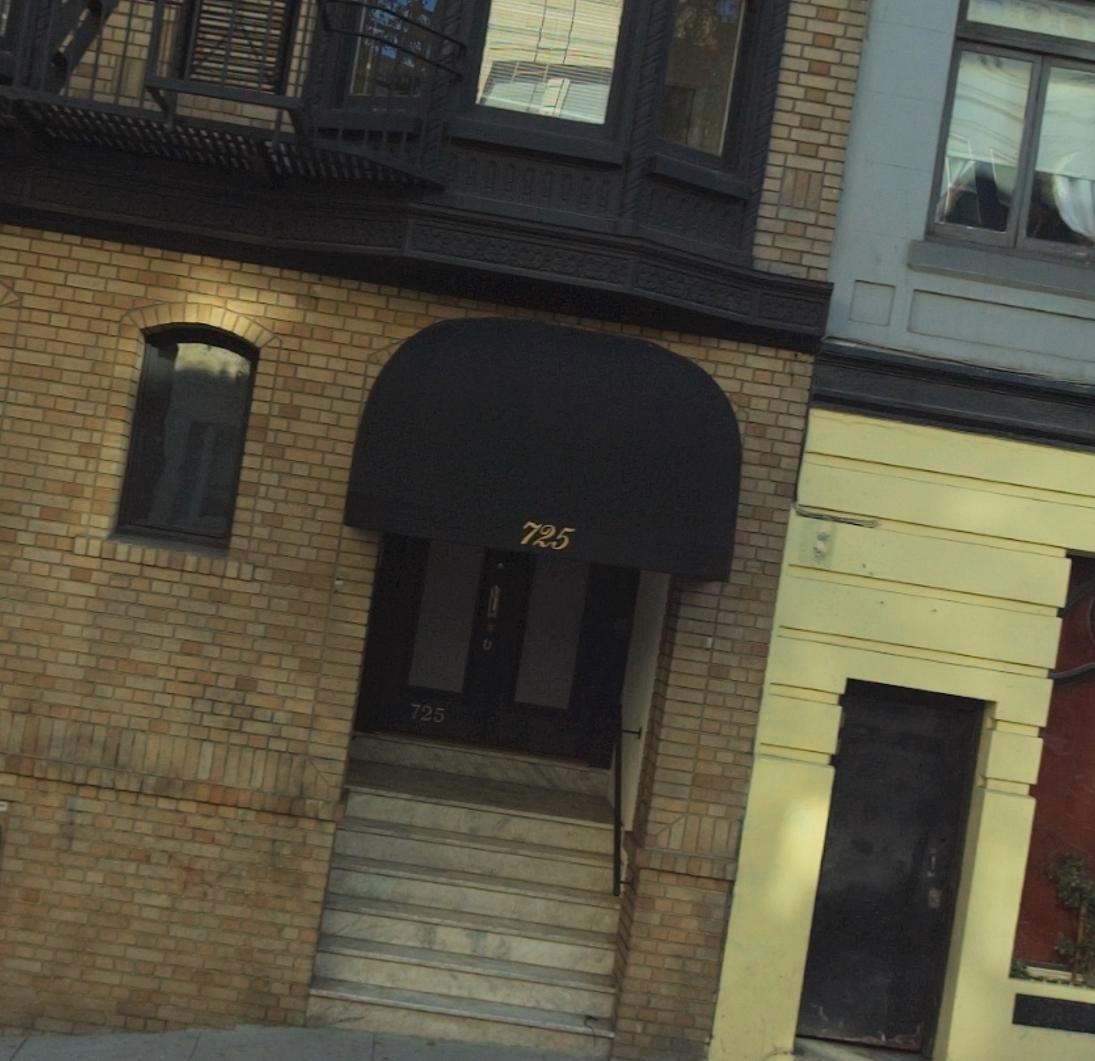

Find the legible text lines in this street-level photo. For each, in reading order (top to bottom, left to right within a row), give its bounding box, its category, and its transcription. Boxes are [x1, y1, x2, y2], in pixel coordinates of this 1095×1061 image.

[516, 517, 580, 551] StreetNumber: 725
[408, 701, 449, 725] StreetNumber: 725